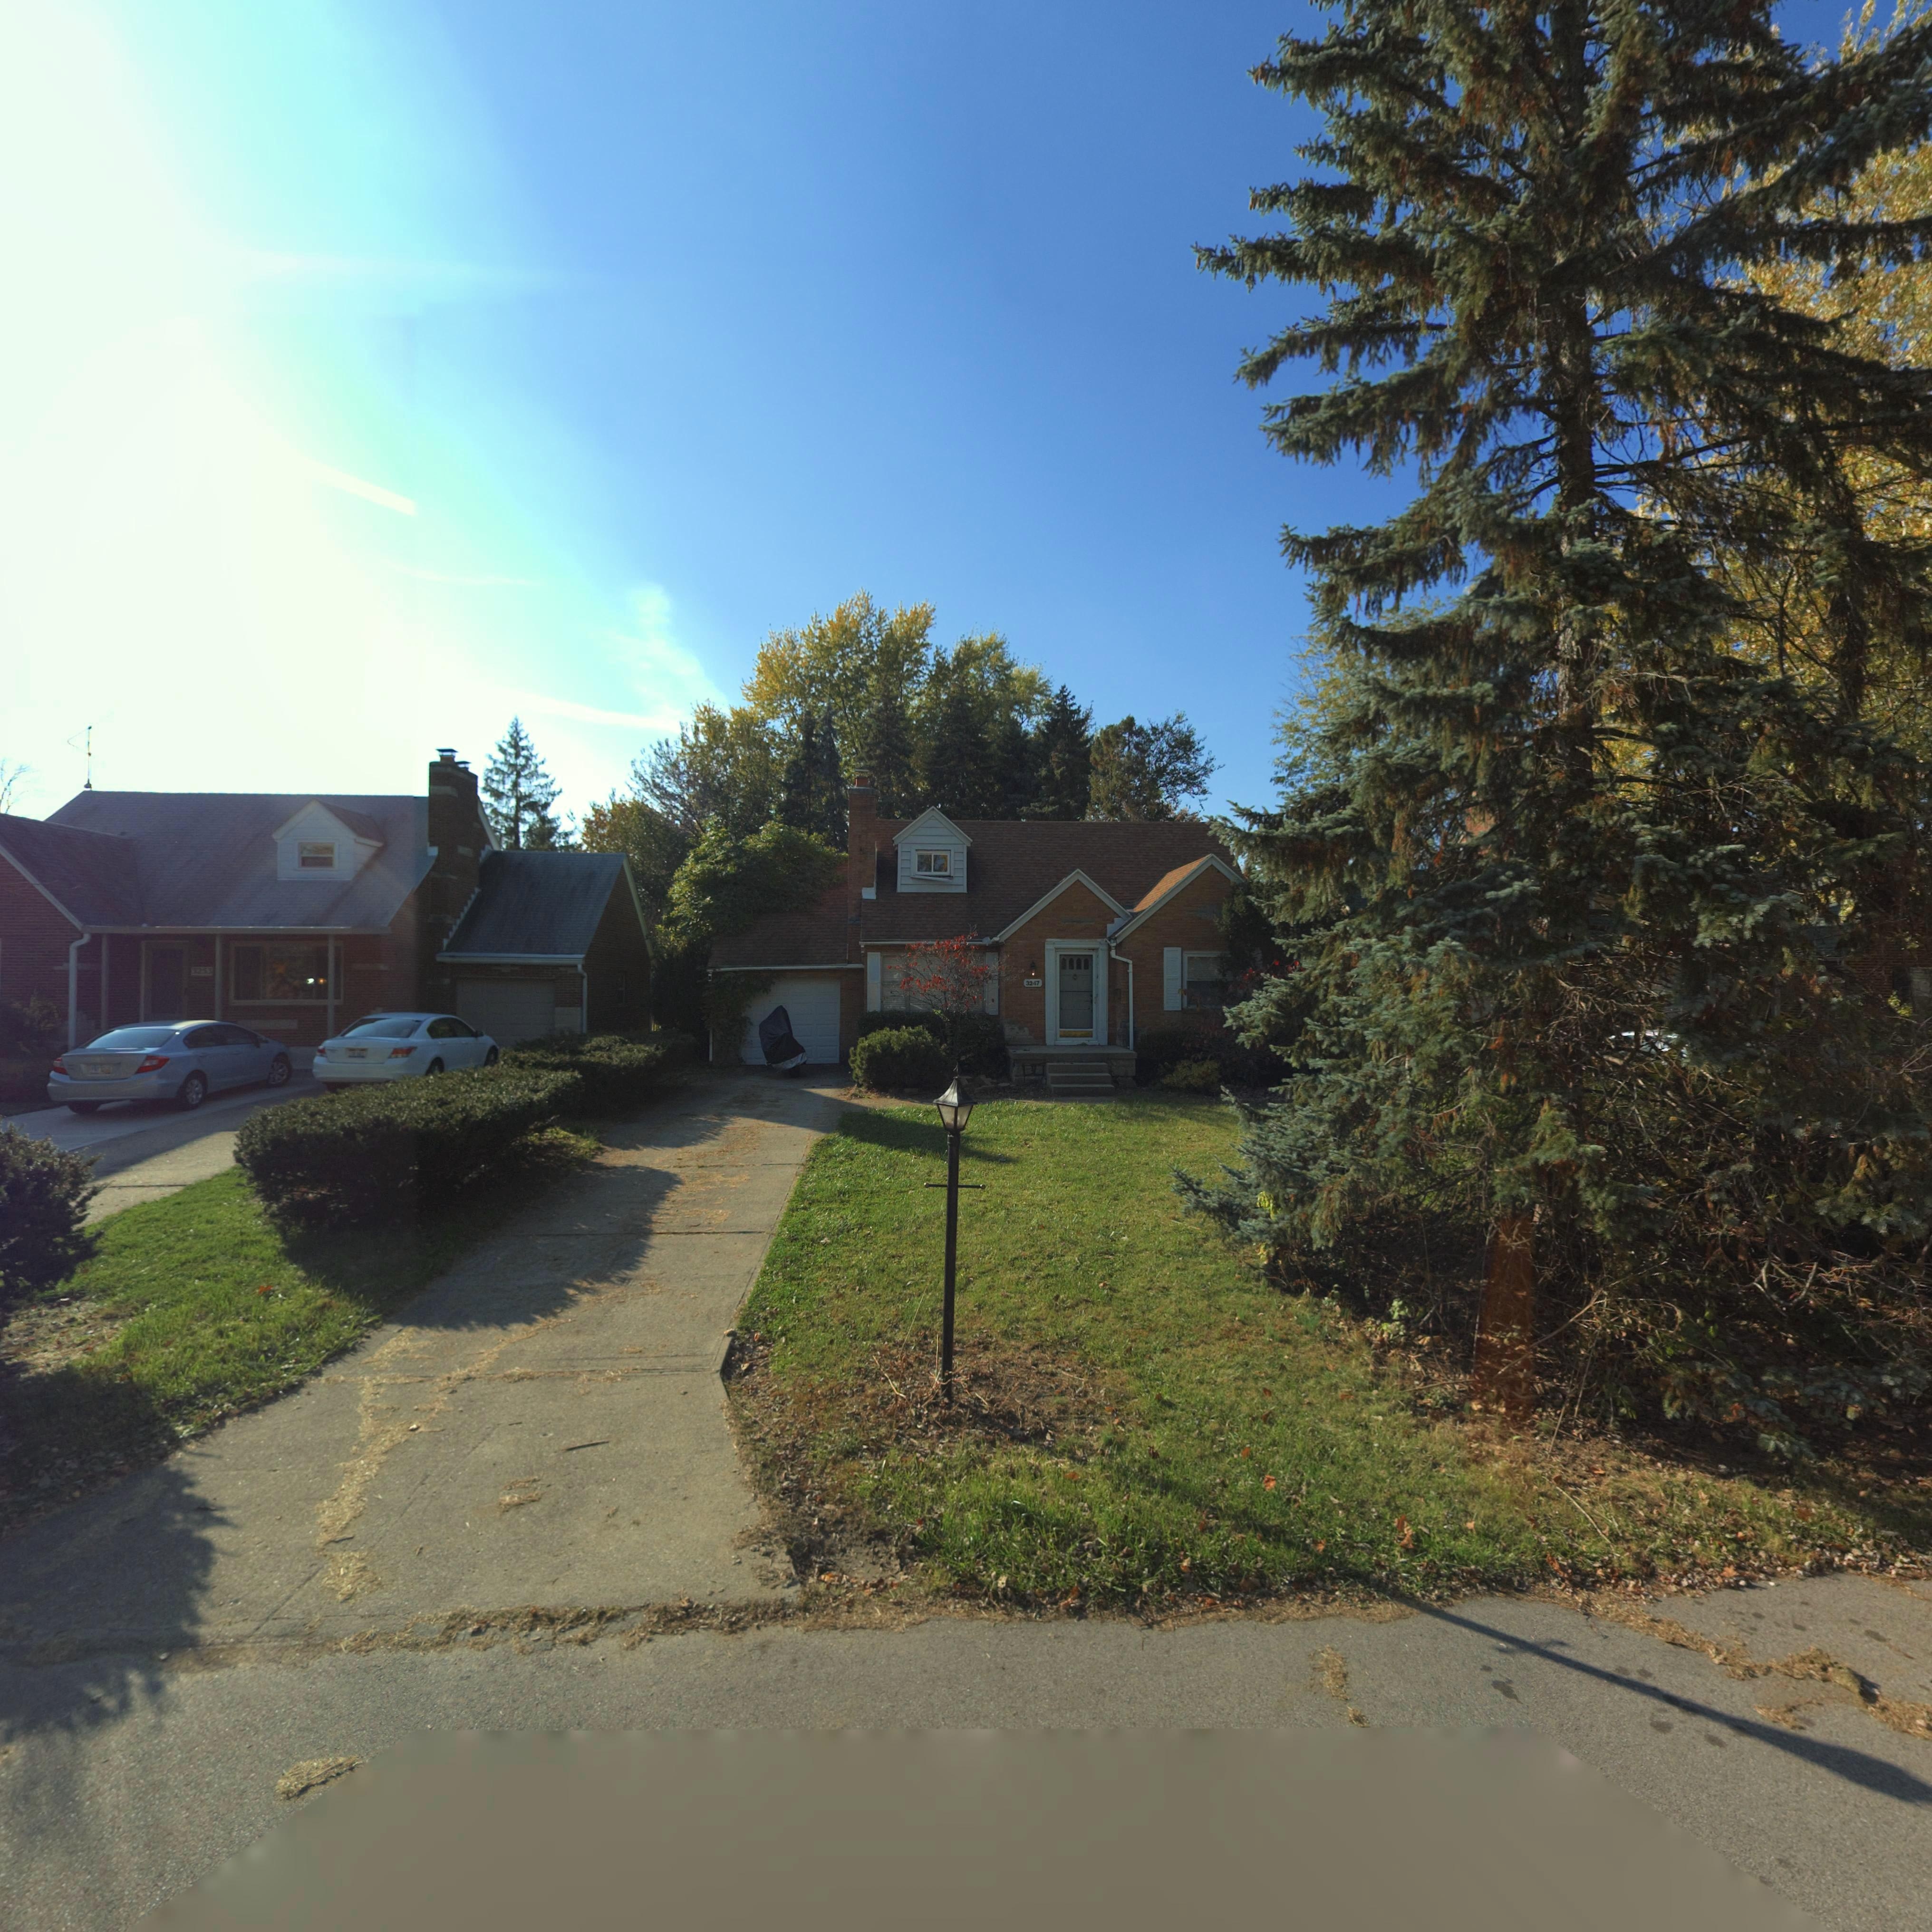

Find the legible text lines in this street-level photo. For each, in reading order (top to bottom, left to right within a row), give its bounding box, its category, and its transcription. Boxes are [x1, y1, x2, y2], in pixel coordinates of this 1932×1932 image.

[191, 967, 213, 974] StreetNumber: 3253
[1025, 980, 1040, 986] StreetNumber: 3247